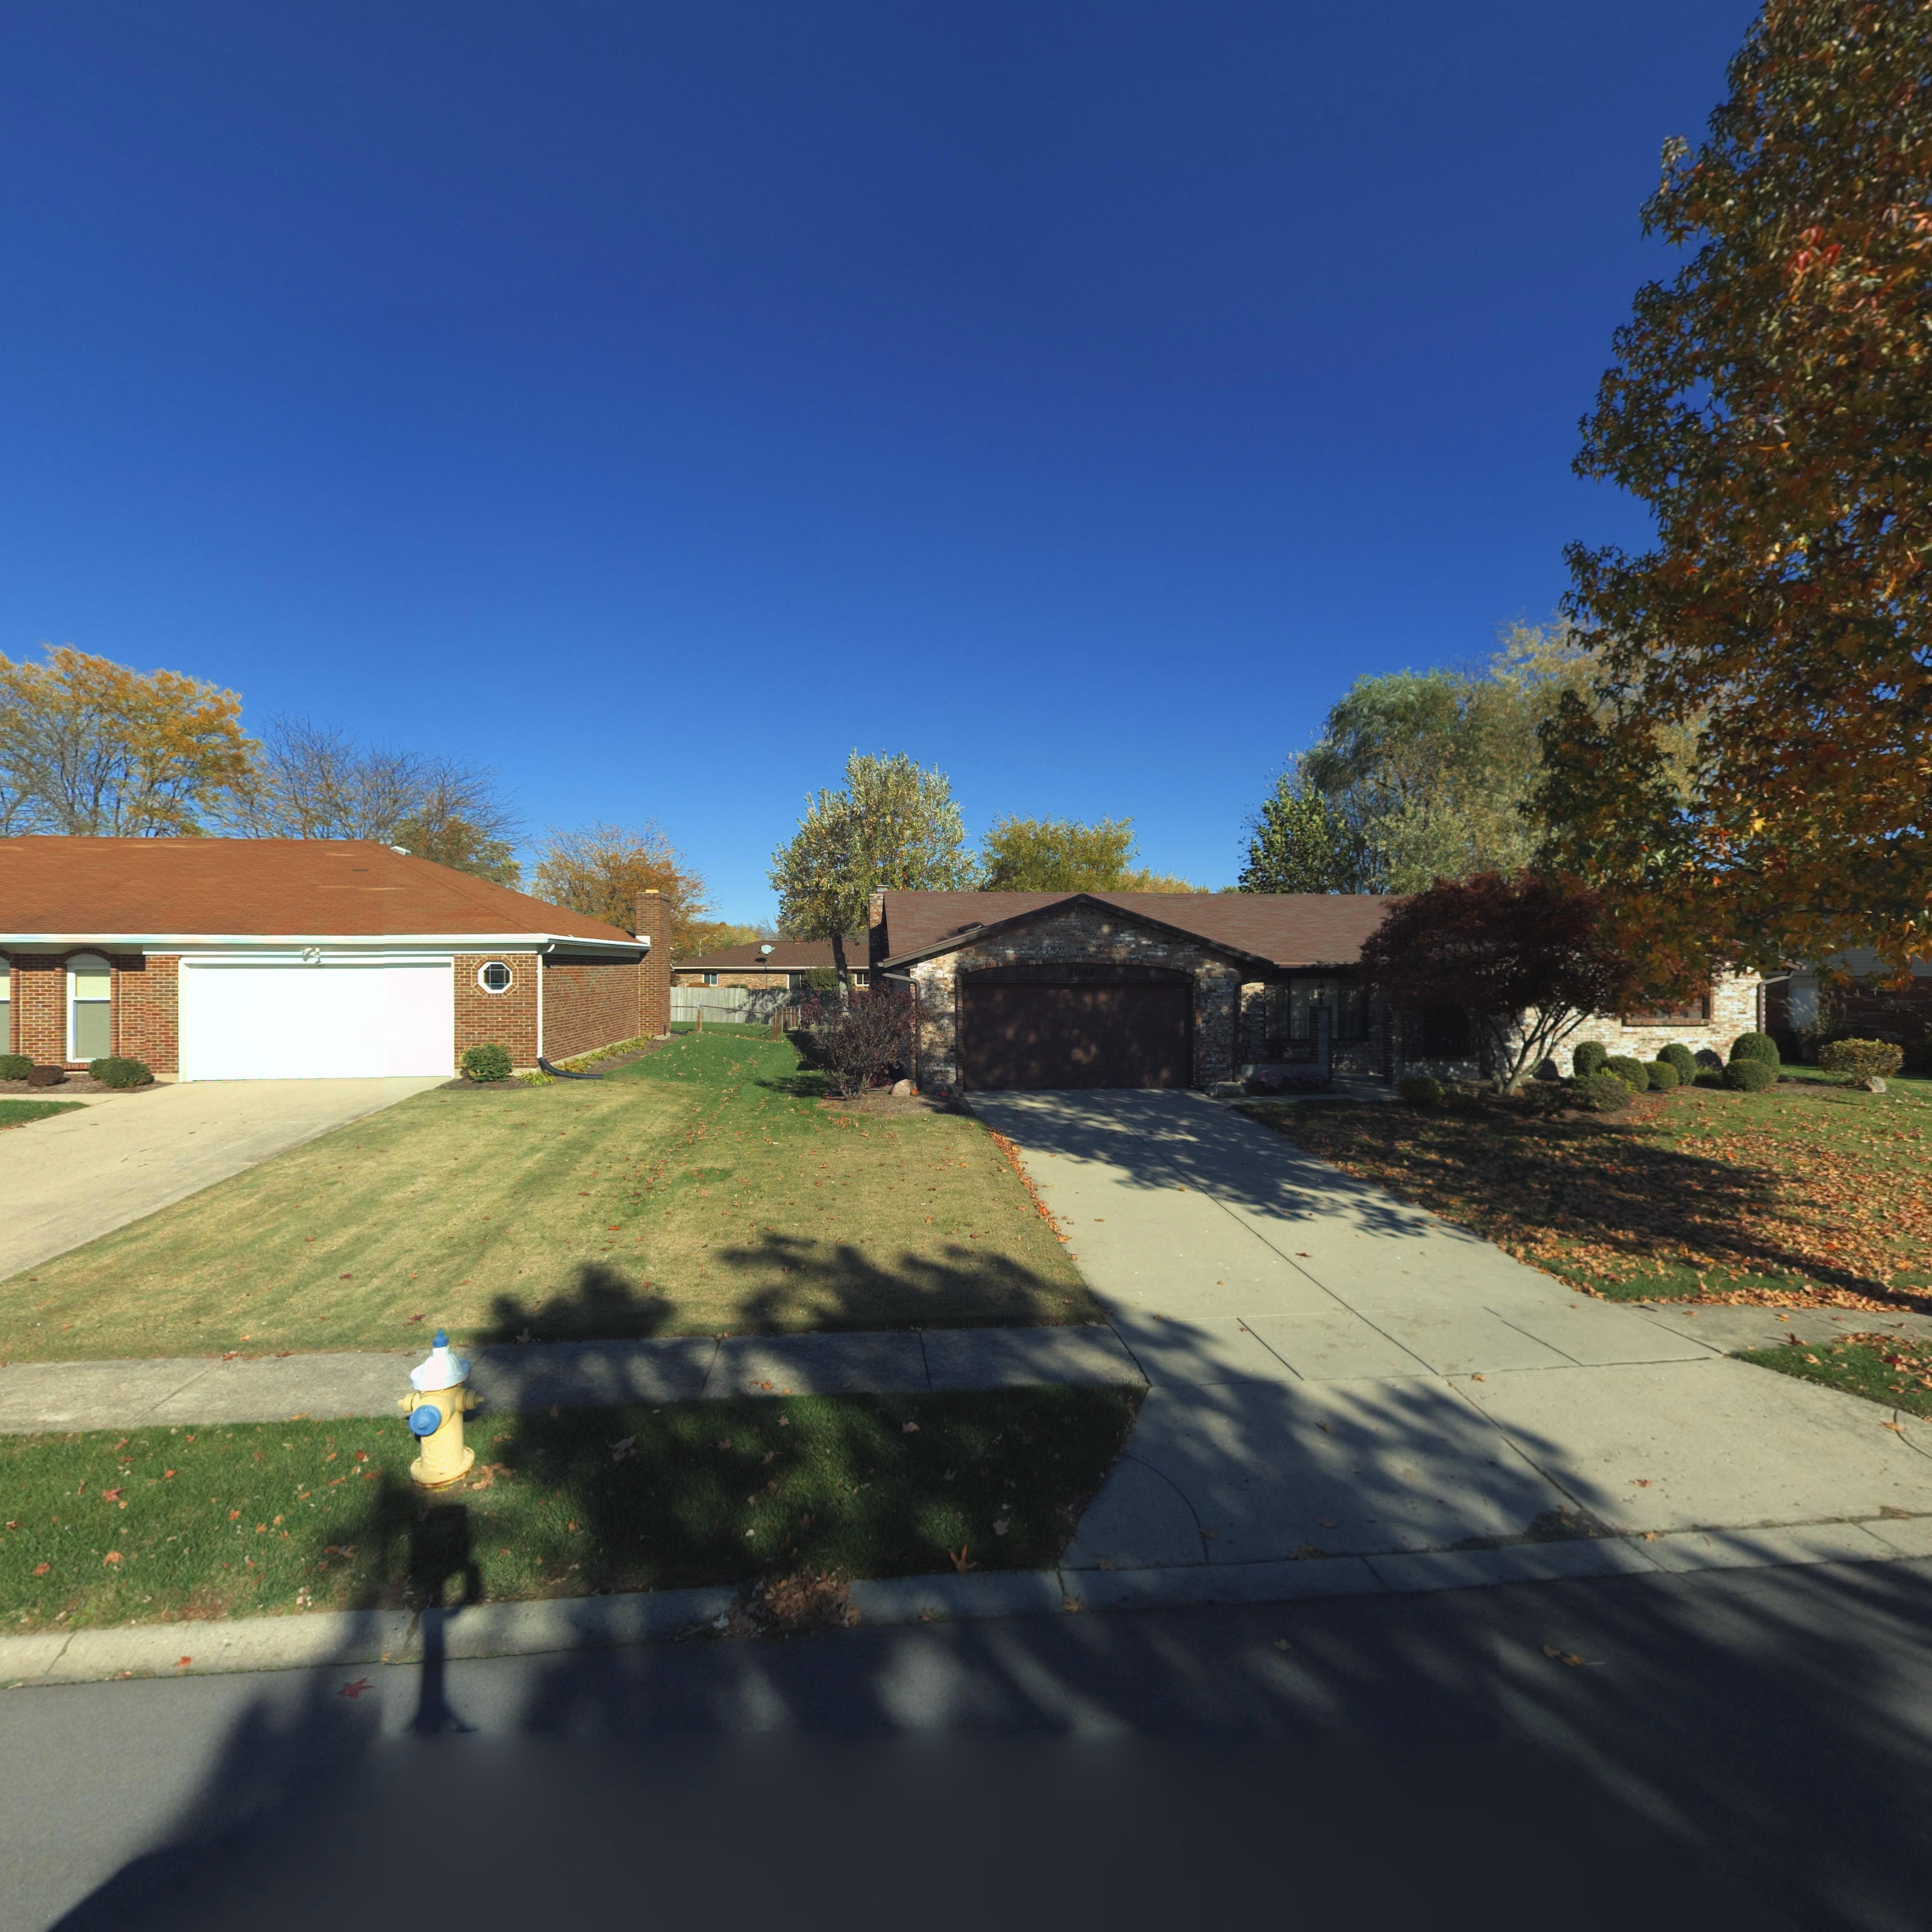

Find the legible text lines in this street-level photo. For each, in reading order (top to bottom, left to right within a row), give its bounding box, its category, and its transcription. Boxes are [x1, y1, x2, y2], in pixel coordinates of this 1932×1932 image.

[1067, 966, 1095, 976] StreetNumber: 7042